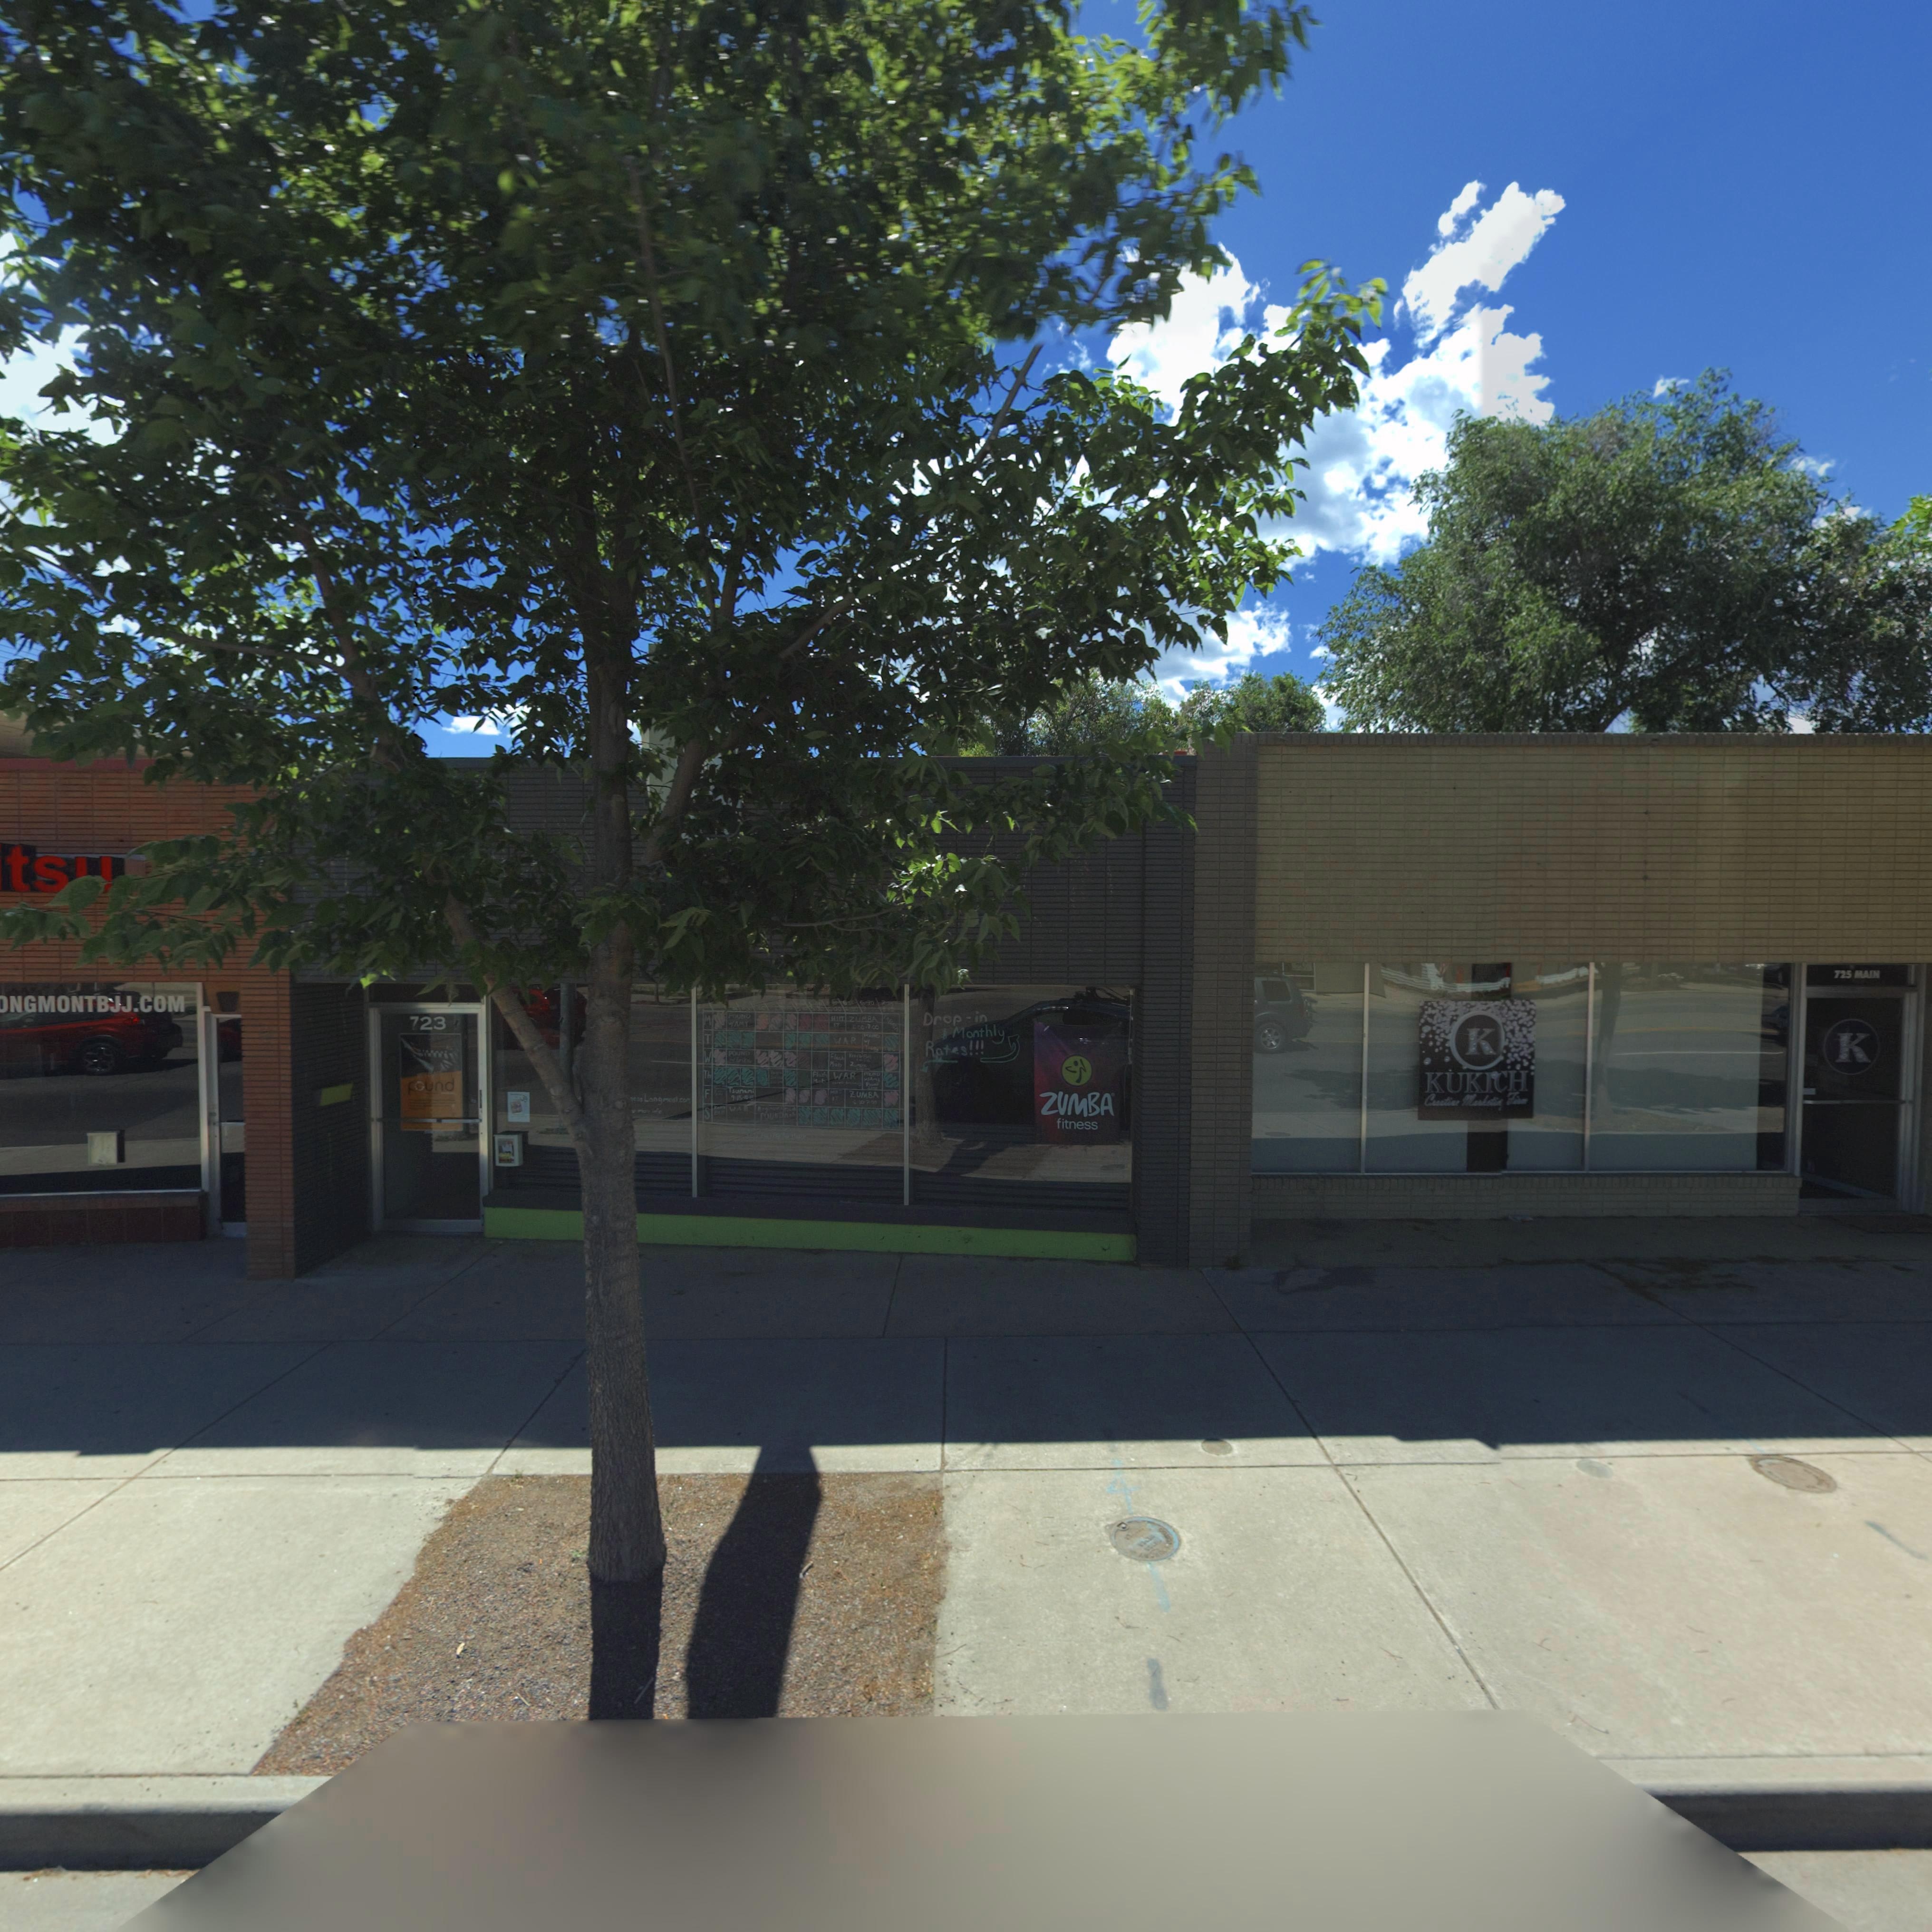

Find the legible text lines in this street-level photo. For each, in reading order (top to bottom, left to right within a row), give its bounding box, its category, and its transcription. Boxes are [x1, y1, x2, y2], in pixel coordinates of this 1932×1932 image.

[5, 842, 113, 894] BusinessName: ts*
[1834, 969, 1852, 979] StreetNumber: 725
[1854, 969, 1880, 979] StreetName: MAIN
[408, 1015, 446, 1031] StreetNumber: 723
[1423, 1070, 1529, 1094] BusinessName: KUKICH
[1423, 1092, 1529, 1111] BusinessName: C***ti*e M**keti*g Fi**